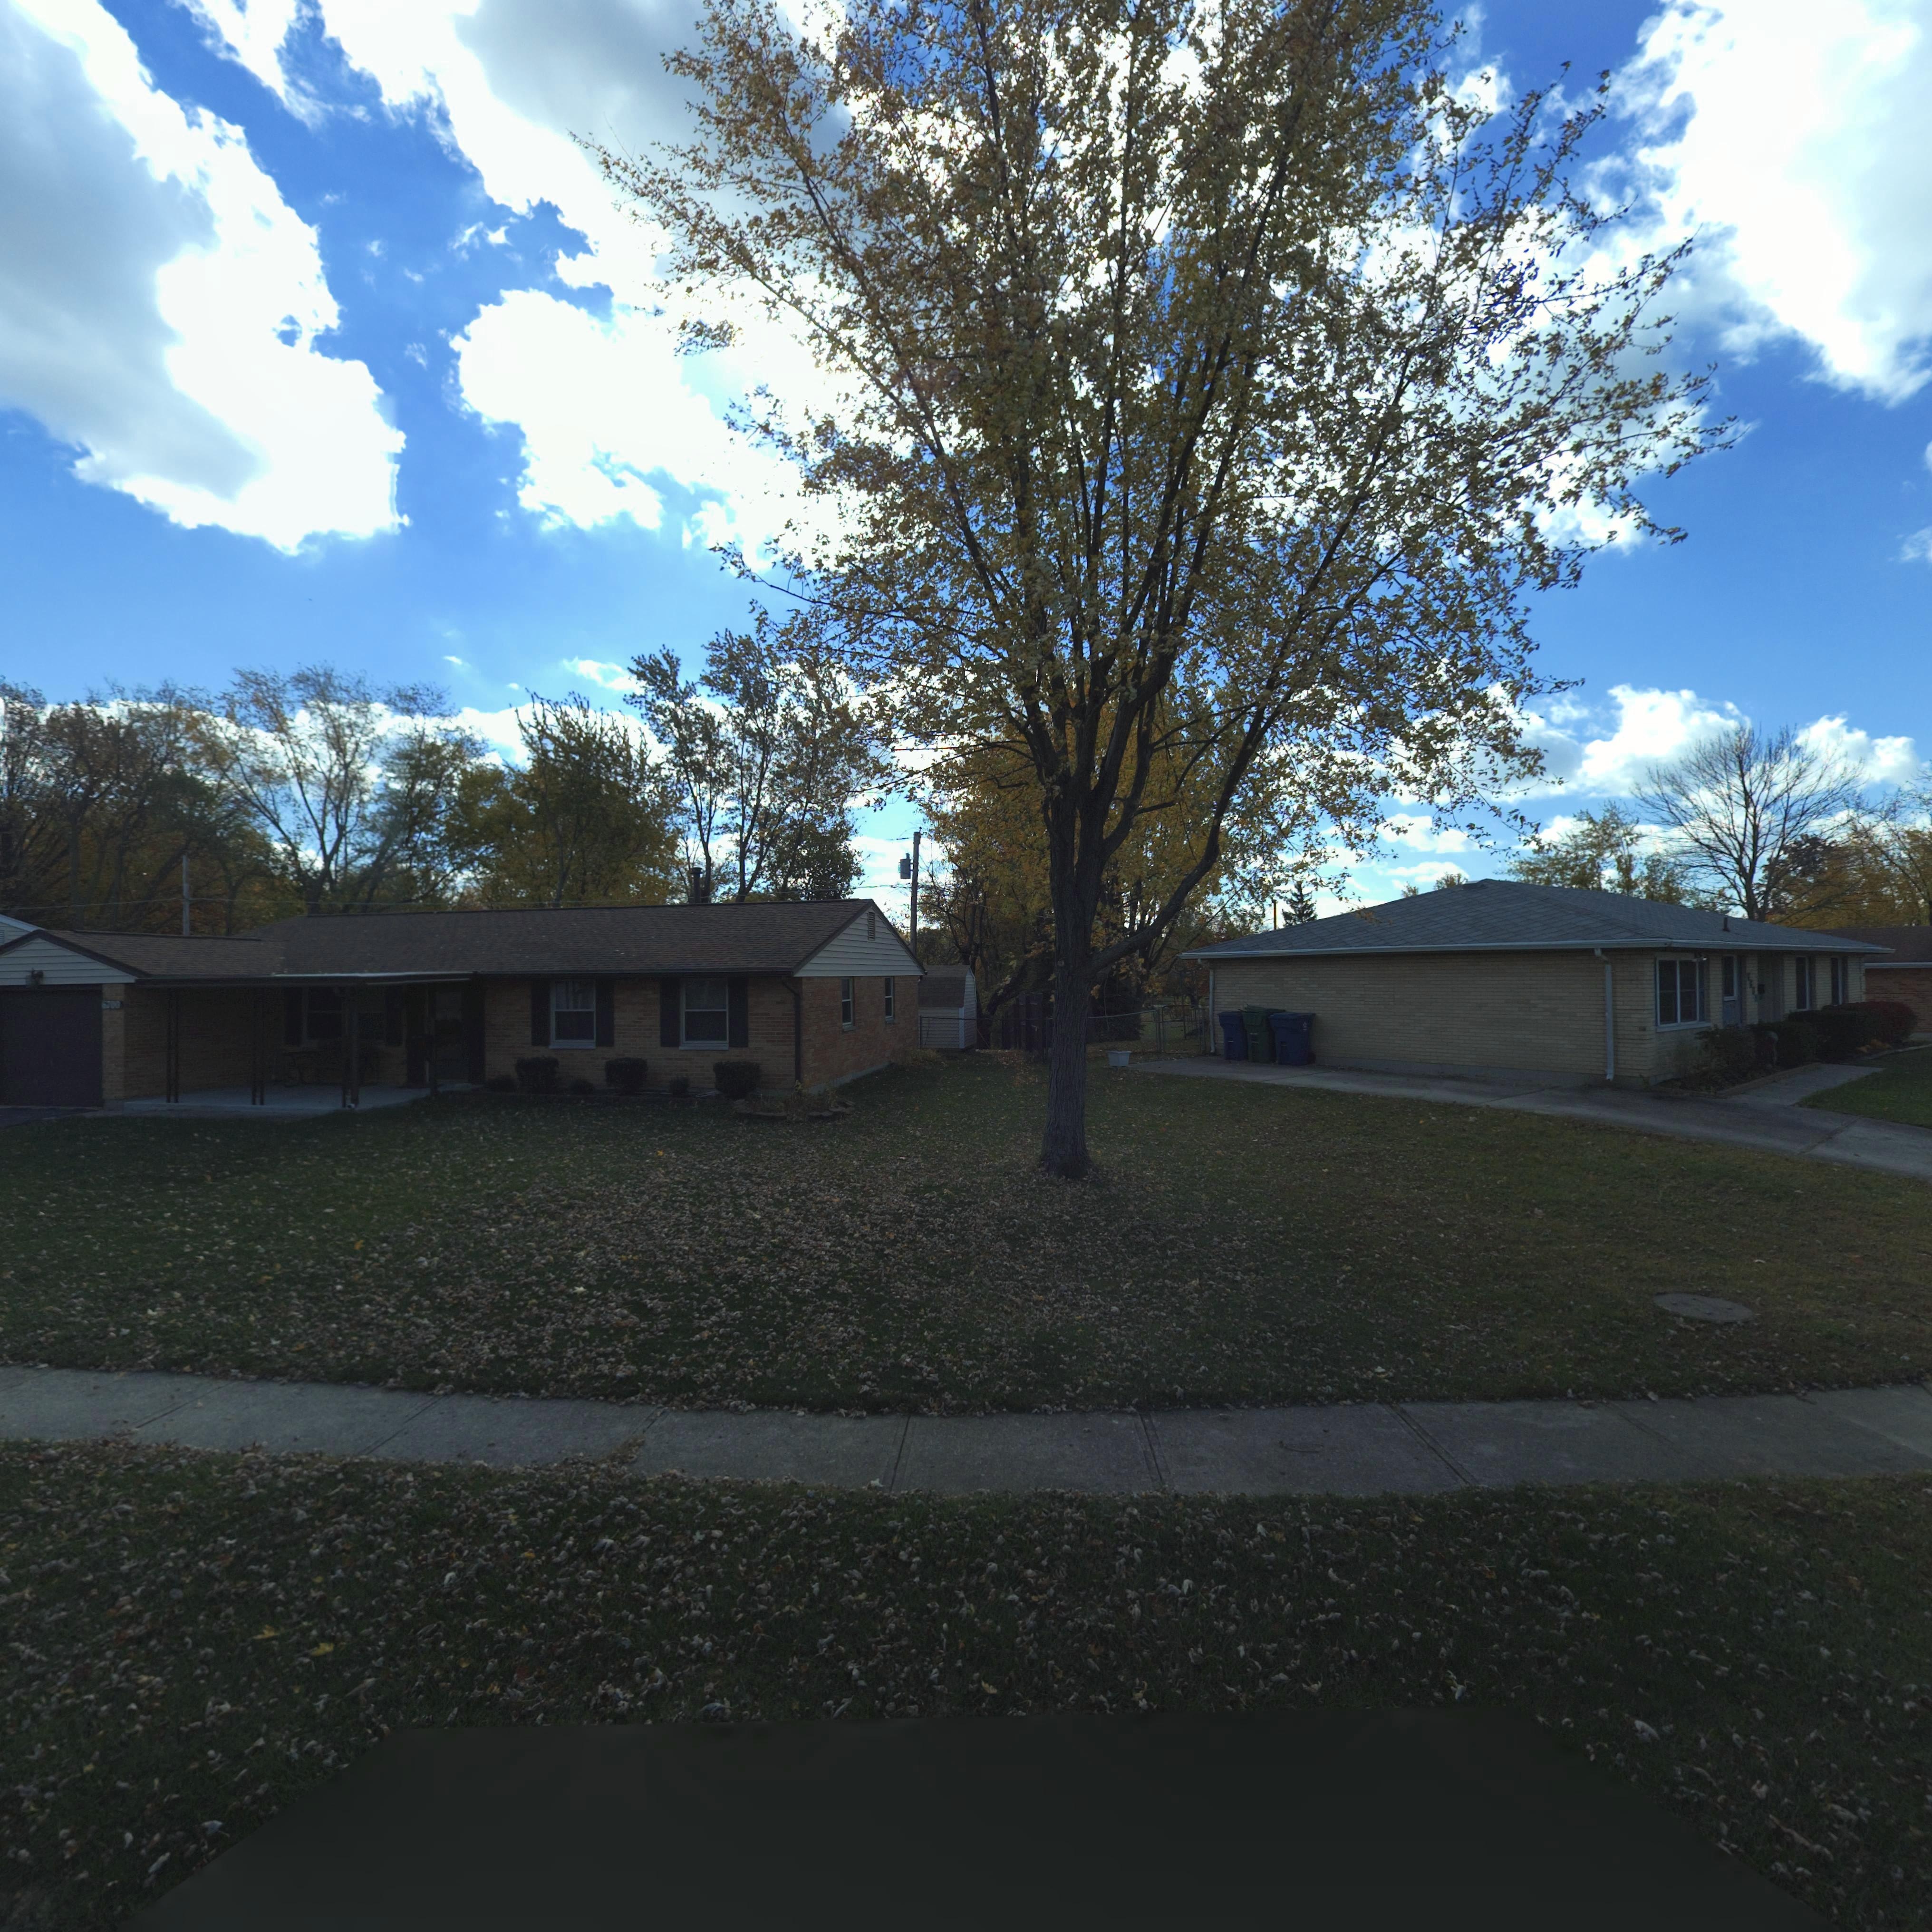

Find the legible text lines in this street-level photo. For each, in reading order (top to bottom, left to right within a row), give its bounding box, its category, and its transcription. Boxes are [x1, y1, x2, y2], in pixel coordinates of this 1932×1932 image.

[1745, 972, 1760, 1003] StreetNumber: 766*
[102, 1000, 121, 1009] StreetNumber: 6700